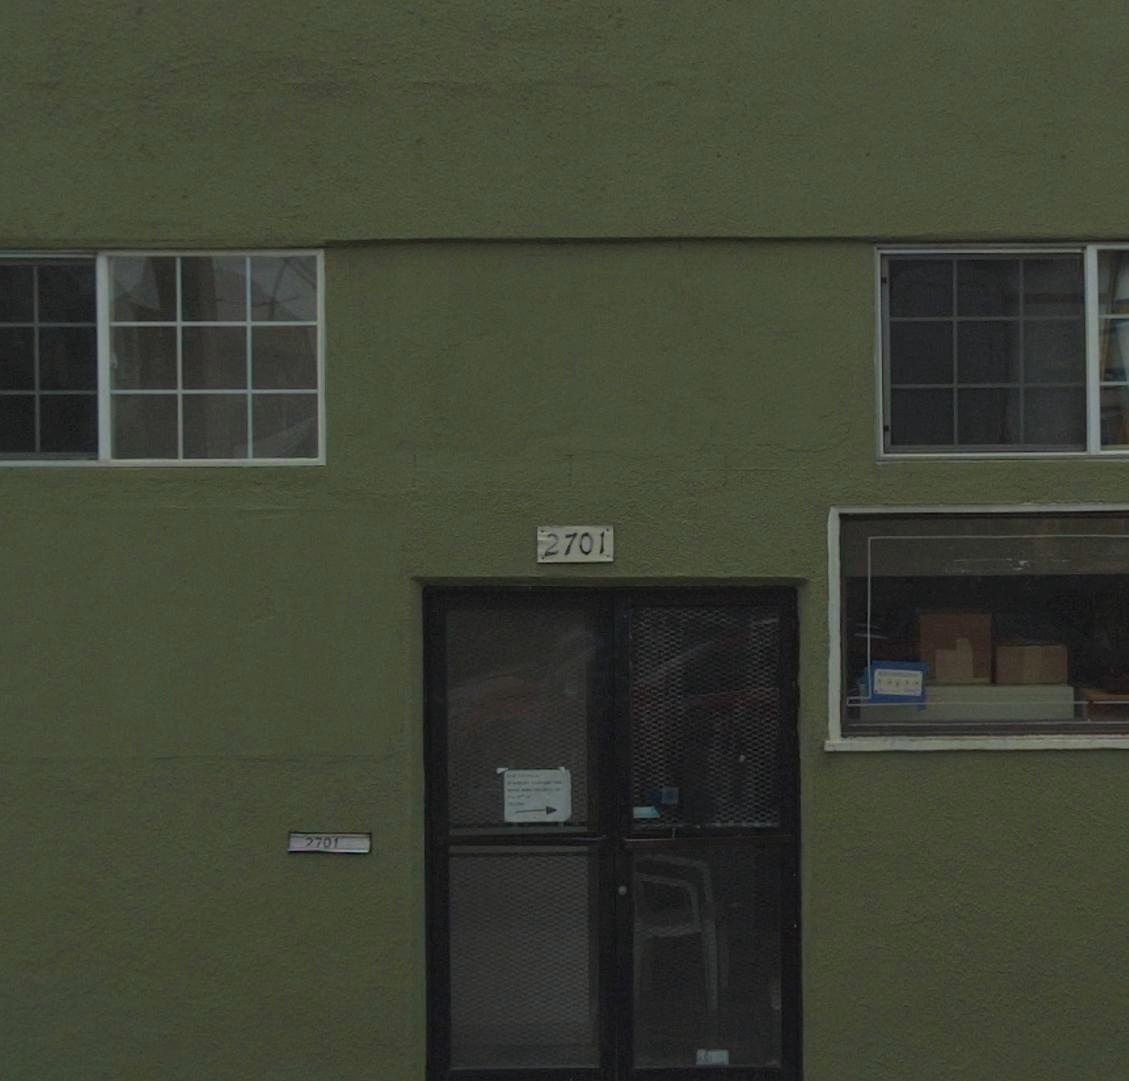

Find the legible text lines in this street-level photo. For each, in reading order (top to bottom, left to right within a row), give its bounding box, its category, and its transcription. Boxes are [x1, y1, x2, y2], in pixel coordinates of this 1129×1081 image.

[542, 529, 609, 557] StreetNumber: 2701
[304, 836, 340, 848] StreetNumber: 2701